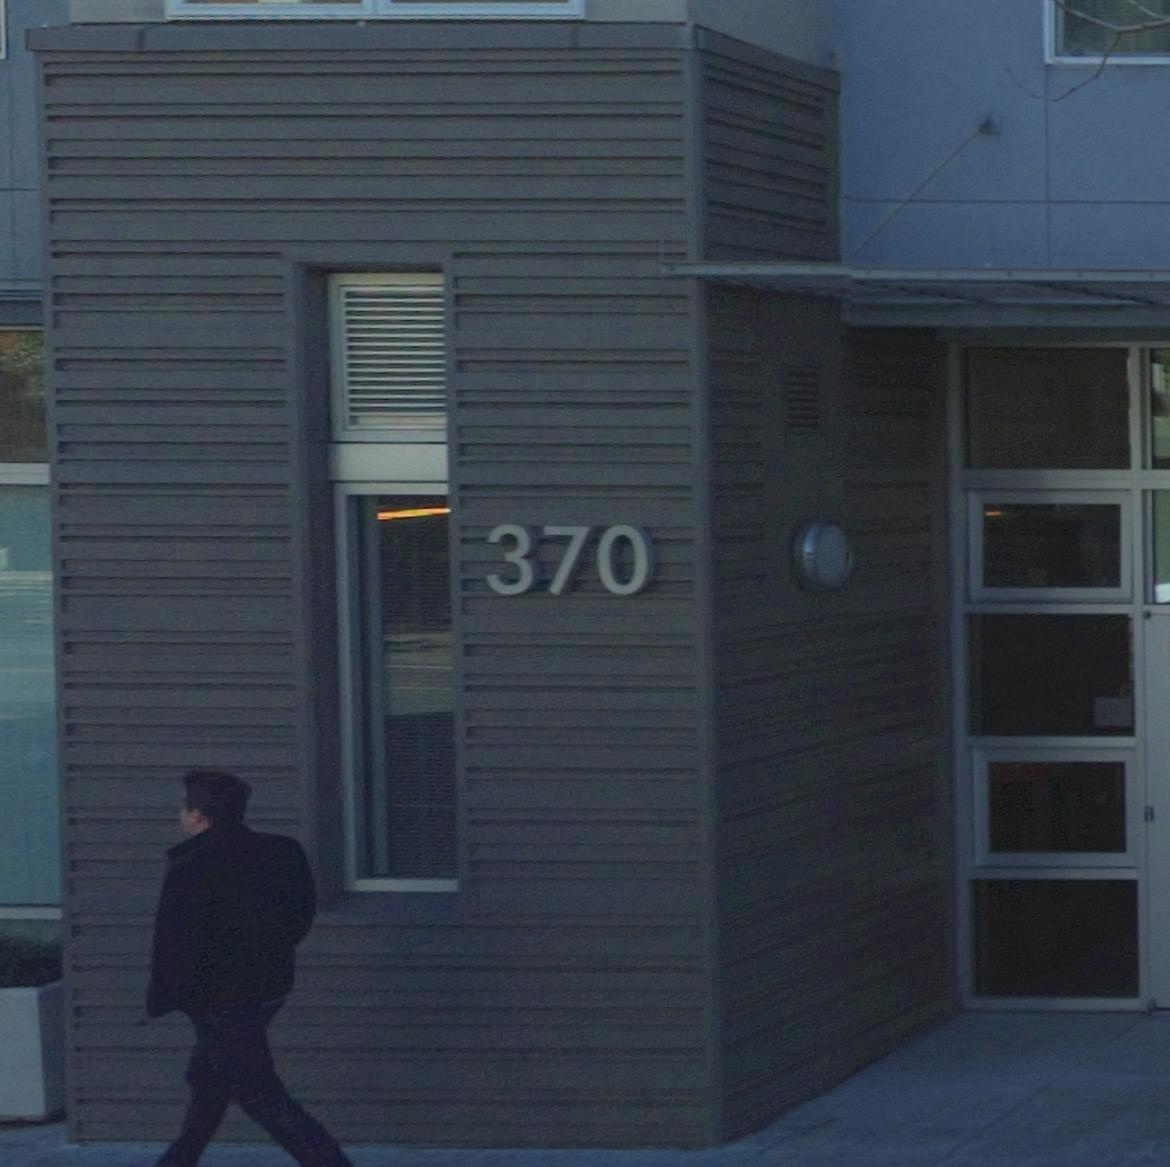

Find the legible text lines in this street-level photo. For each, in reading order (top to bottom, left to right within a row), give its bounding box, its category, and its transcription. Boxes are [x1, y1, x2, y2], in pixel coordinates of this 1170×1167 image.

[486, 522, 650, 597] StreetNumber: 370